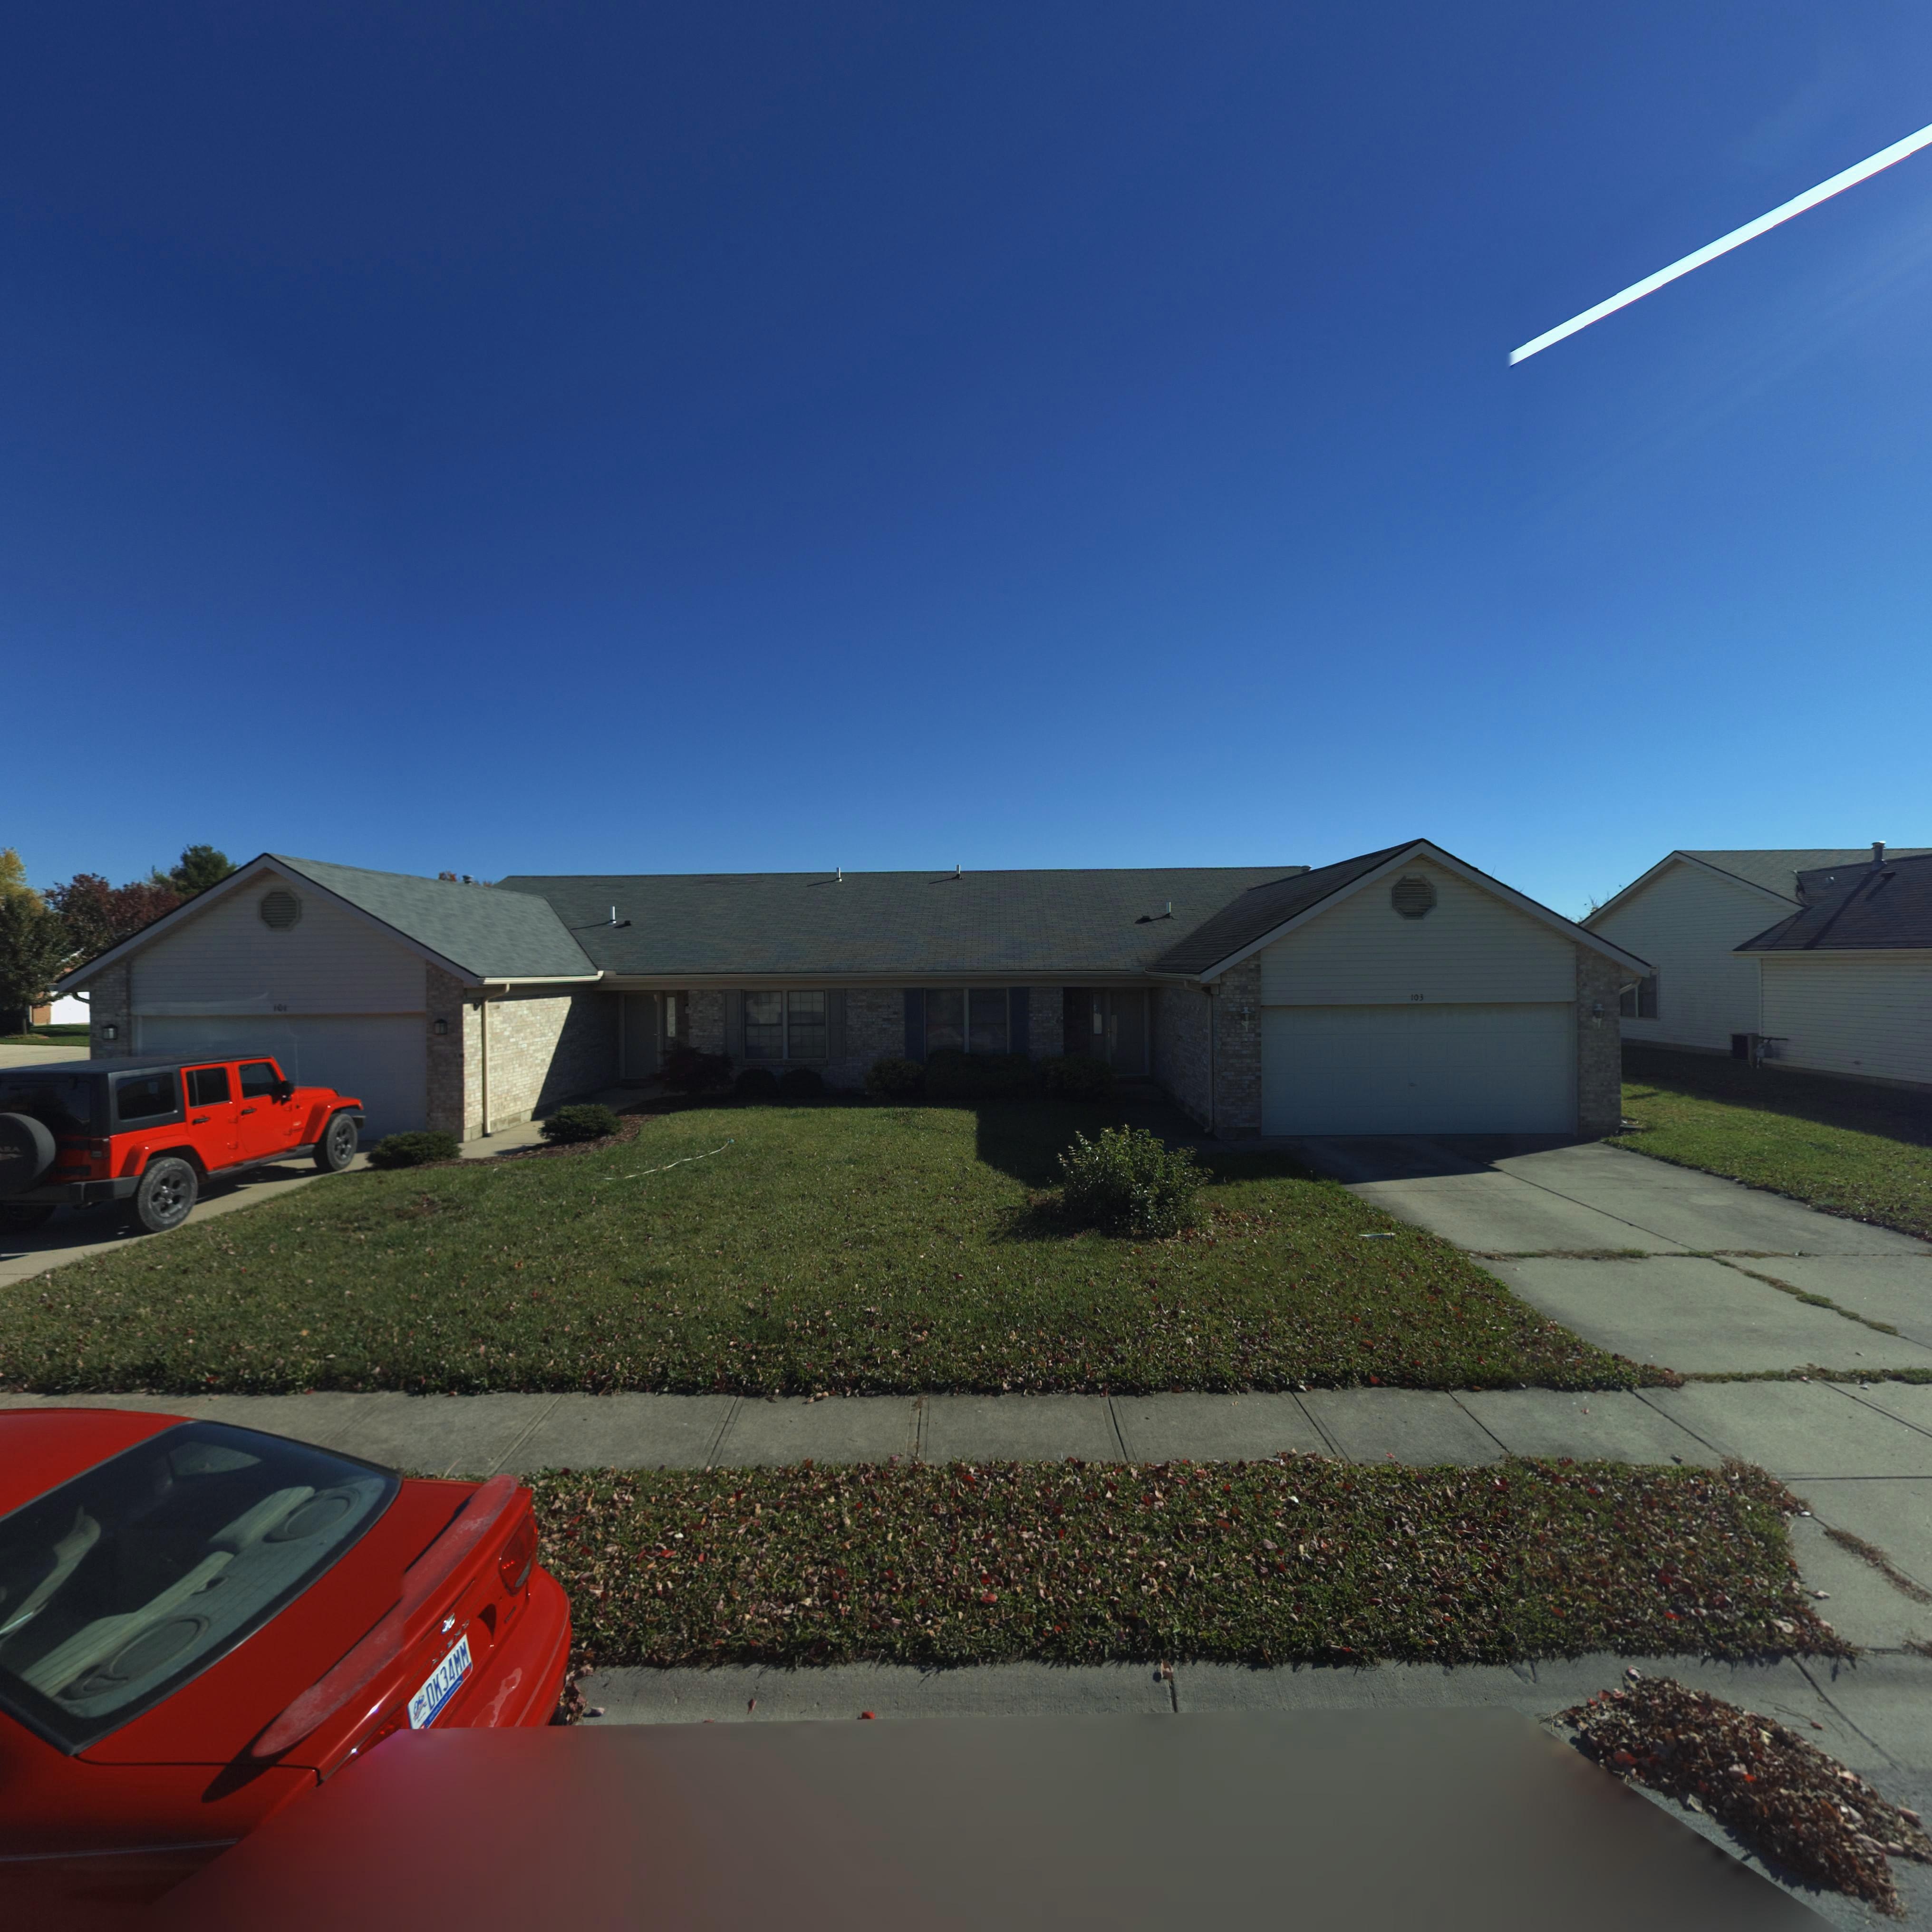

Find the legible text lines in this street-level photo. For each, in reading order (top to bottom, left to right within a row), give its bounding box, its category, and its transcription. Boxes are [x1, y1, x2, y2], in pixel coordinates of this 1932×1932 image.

[1410, 993, 1423, 1001] StreetNumber: 1-3
[272, 1003, 287, 1013] StreetNumber: 101
[423, 1638, 473, 1714] None: DK34MM